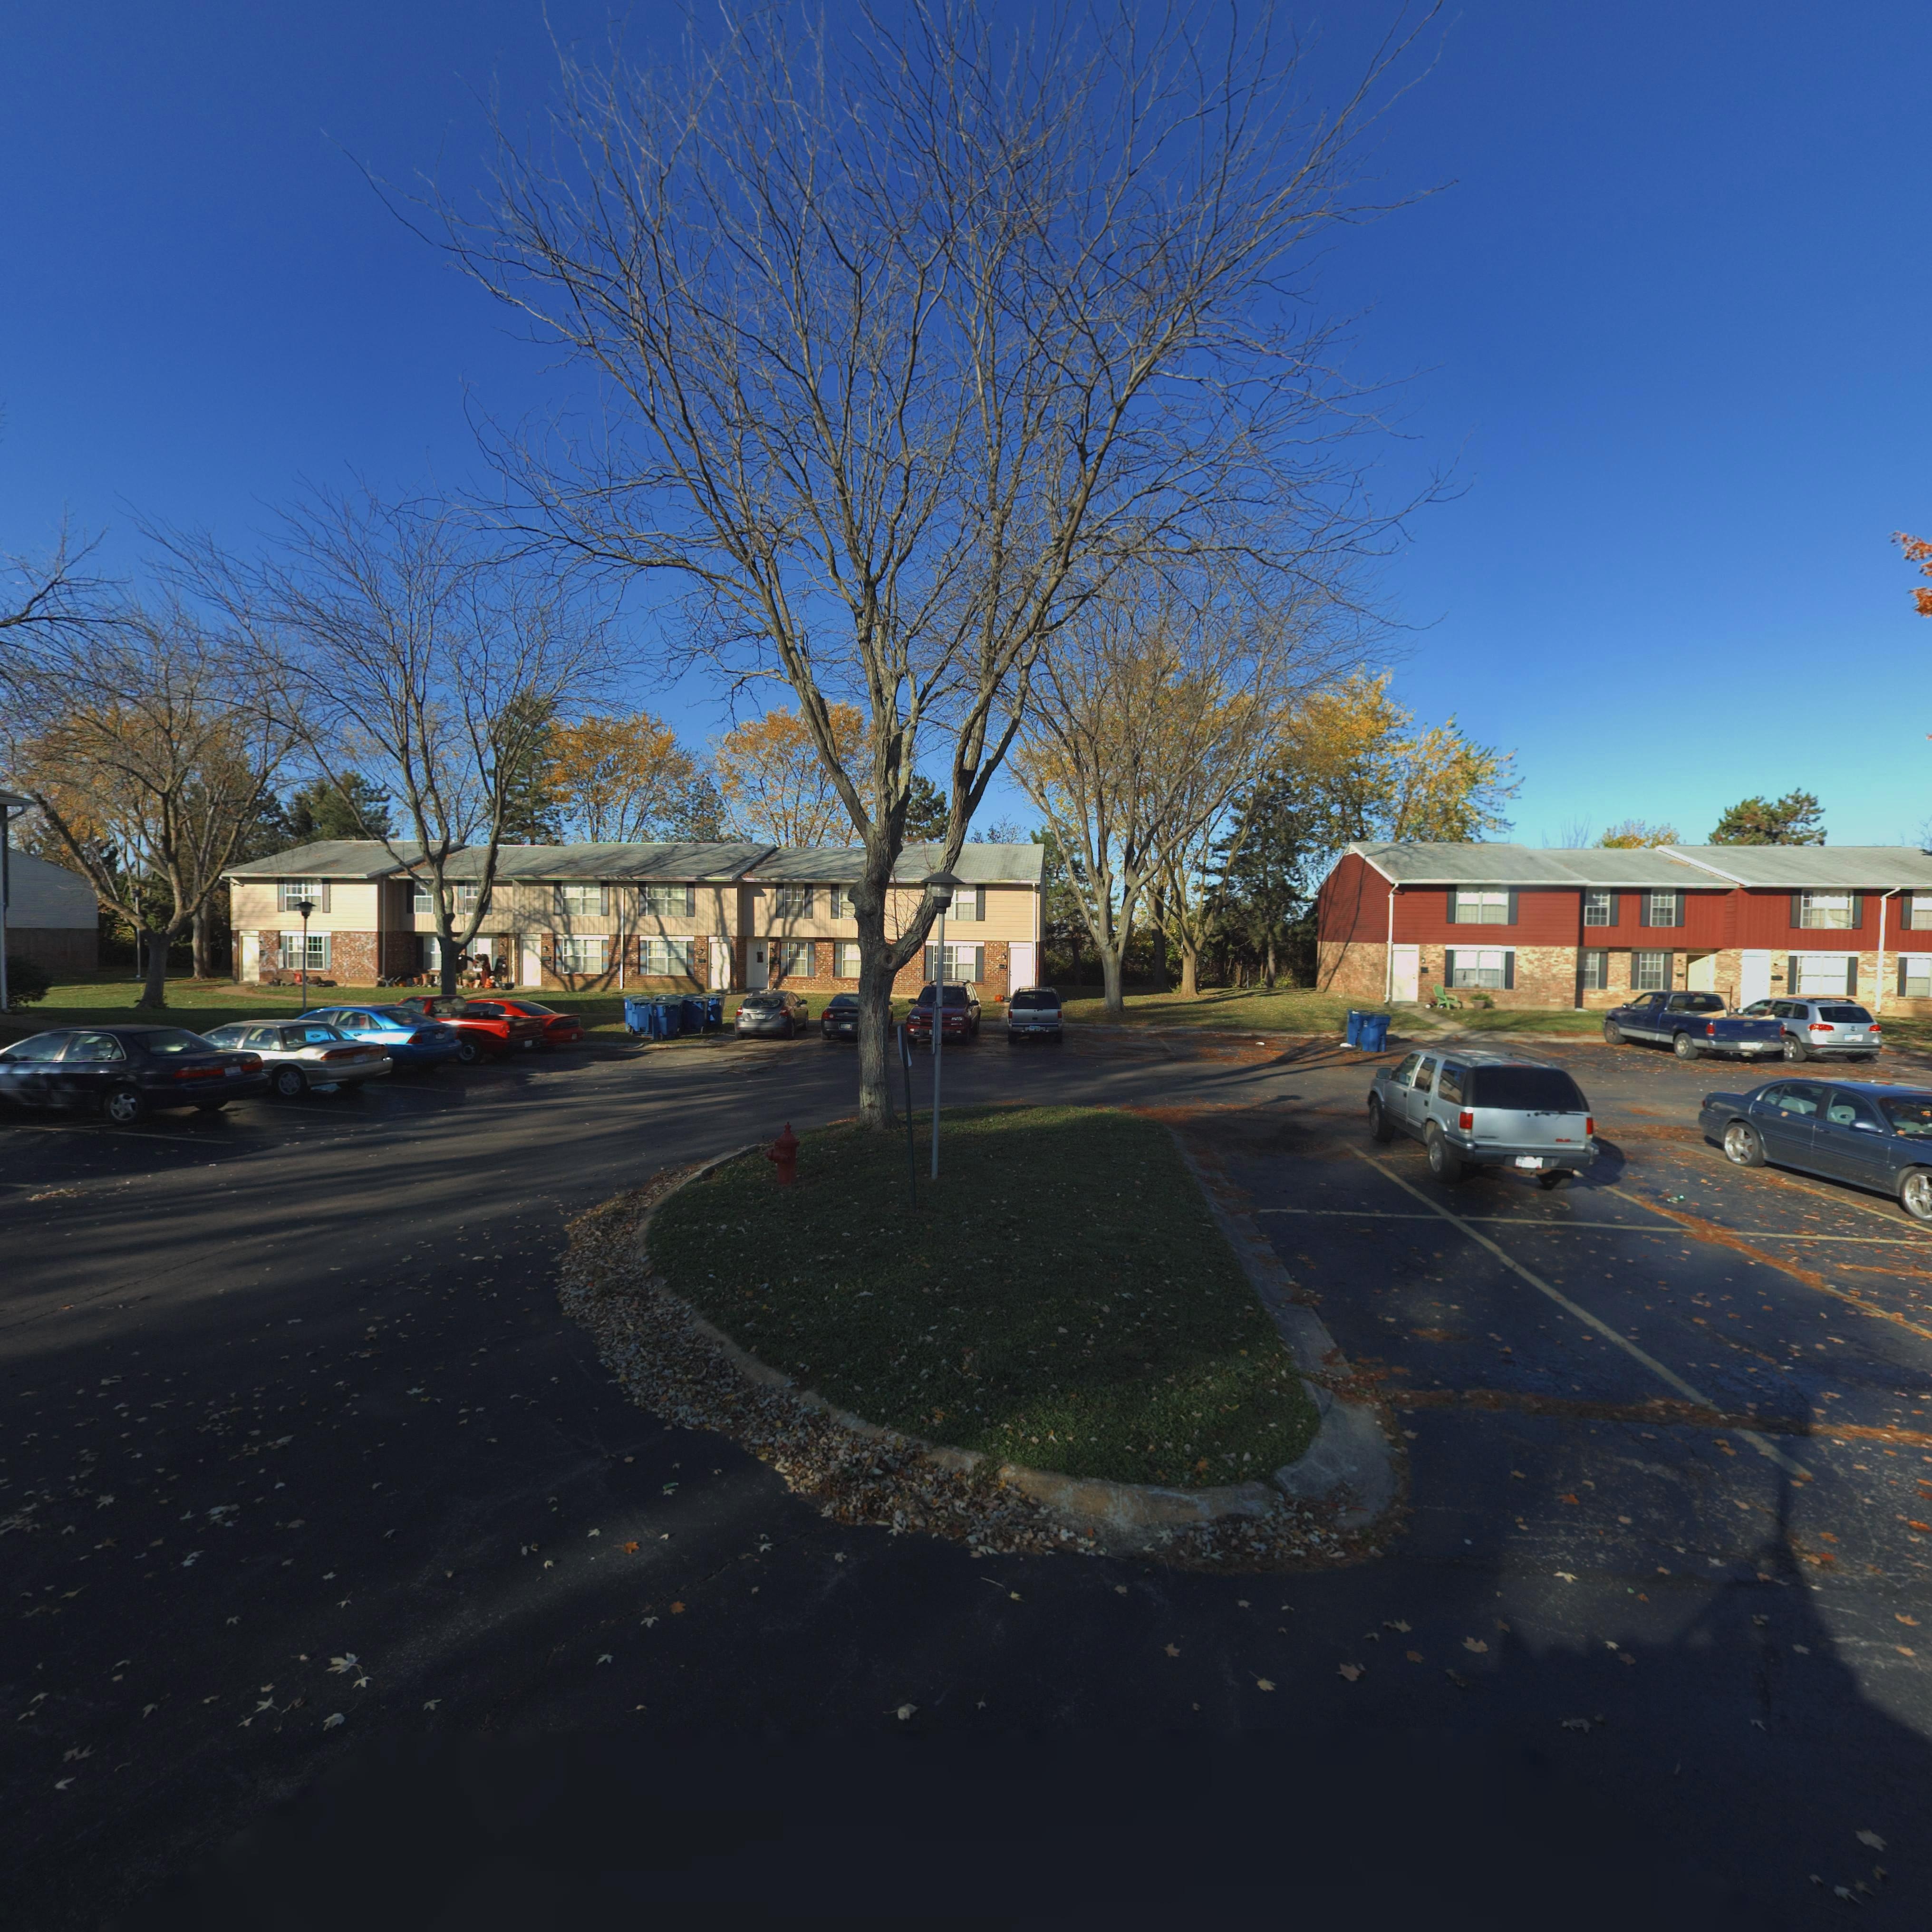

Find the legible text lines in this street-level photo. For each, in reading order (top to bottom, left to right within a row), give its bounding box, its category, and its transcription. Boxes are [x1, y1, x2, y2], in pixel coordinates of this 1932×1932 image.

[756, 937, 759, 940] StreetNumber: 2